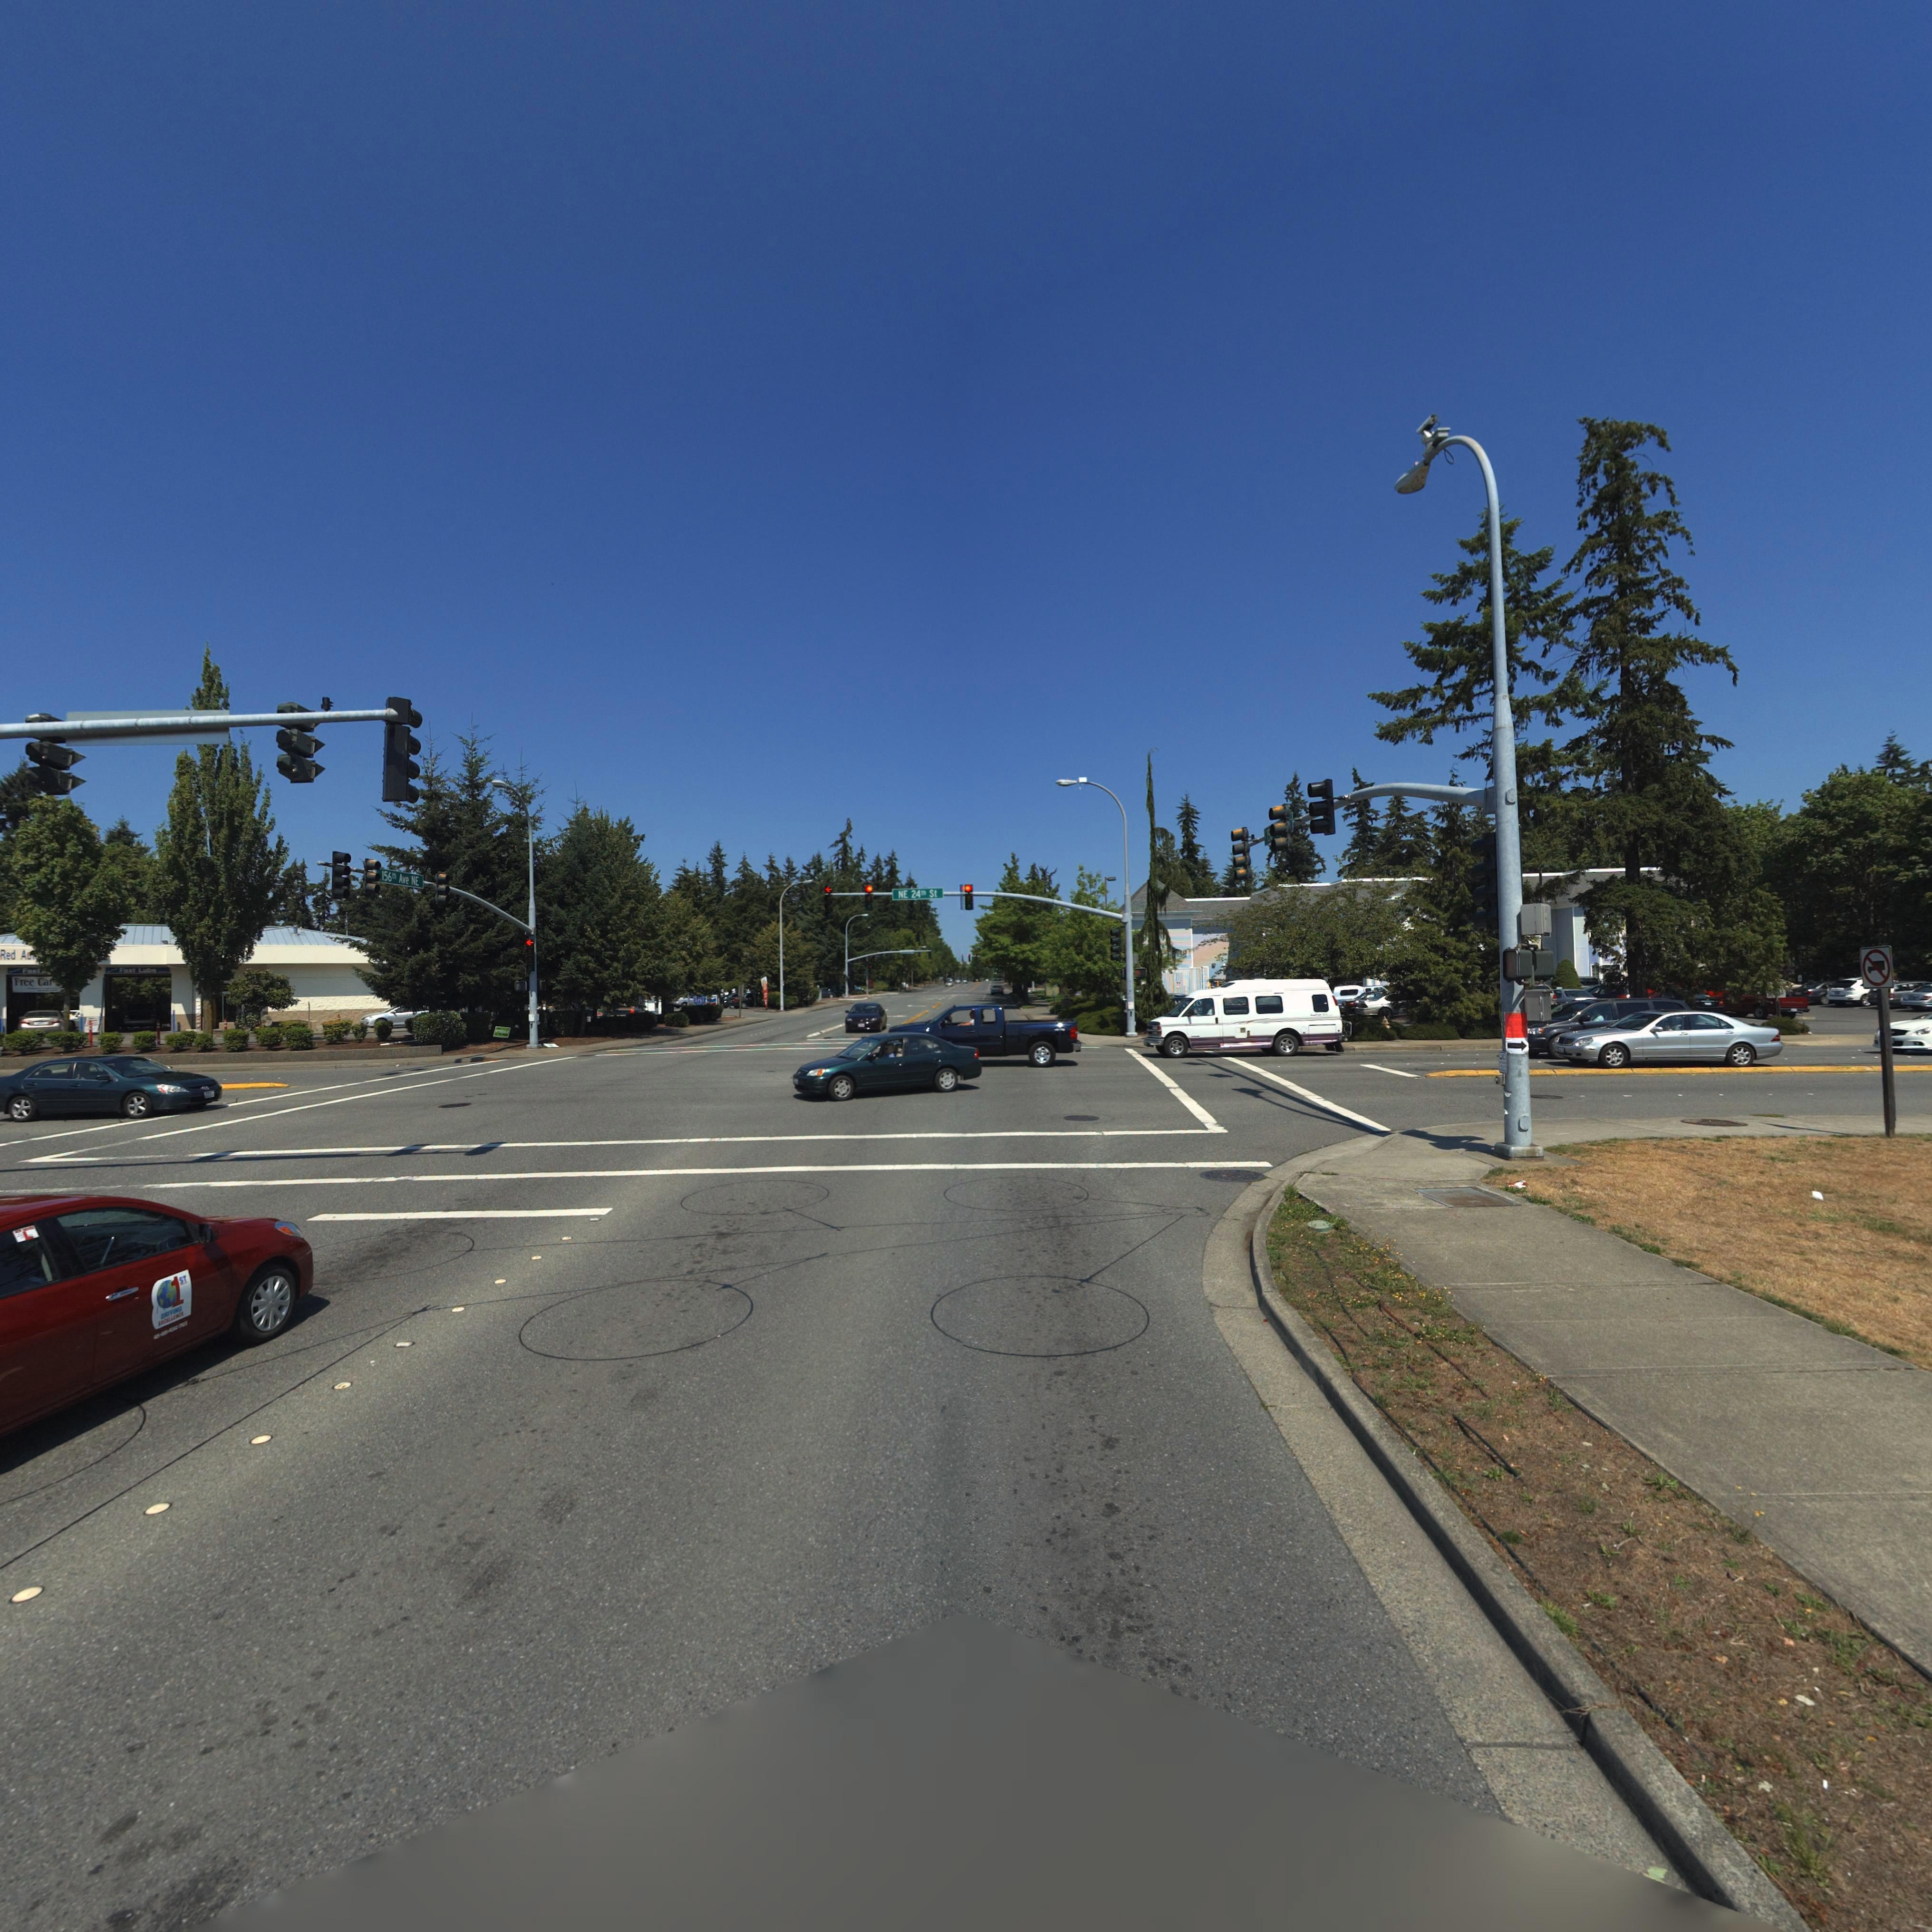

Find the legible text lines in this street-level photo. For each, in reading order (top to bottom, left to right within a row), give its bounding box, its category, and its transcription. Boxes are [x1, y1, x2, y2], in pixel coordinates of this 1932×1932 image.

[381, 870, 419, 886] StreetName: 156t* Ave NE
[898, 889, 937, 898] StreetName: NE 24** St